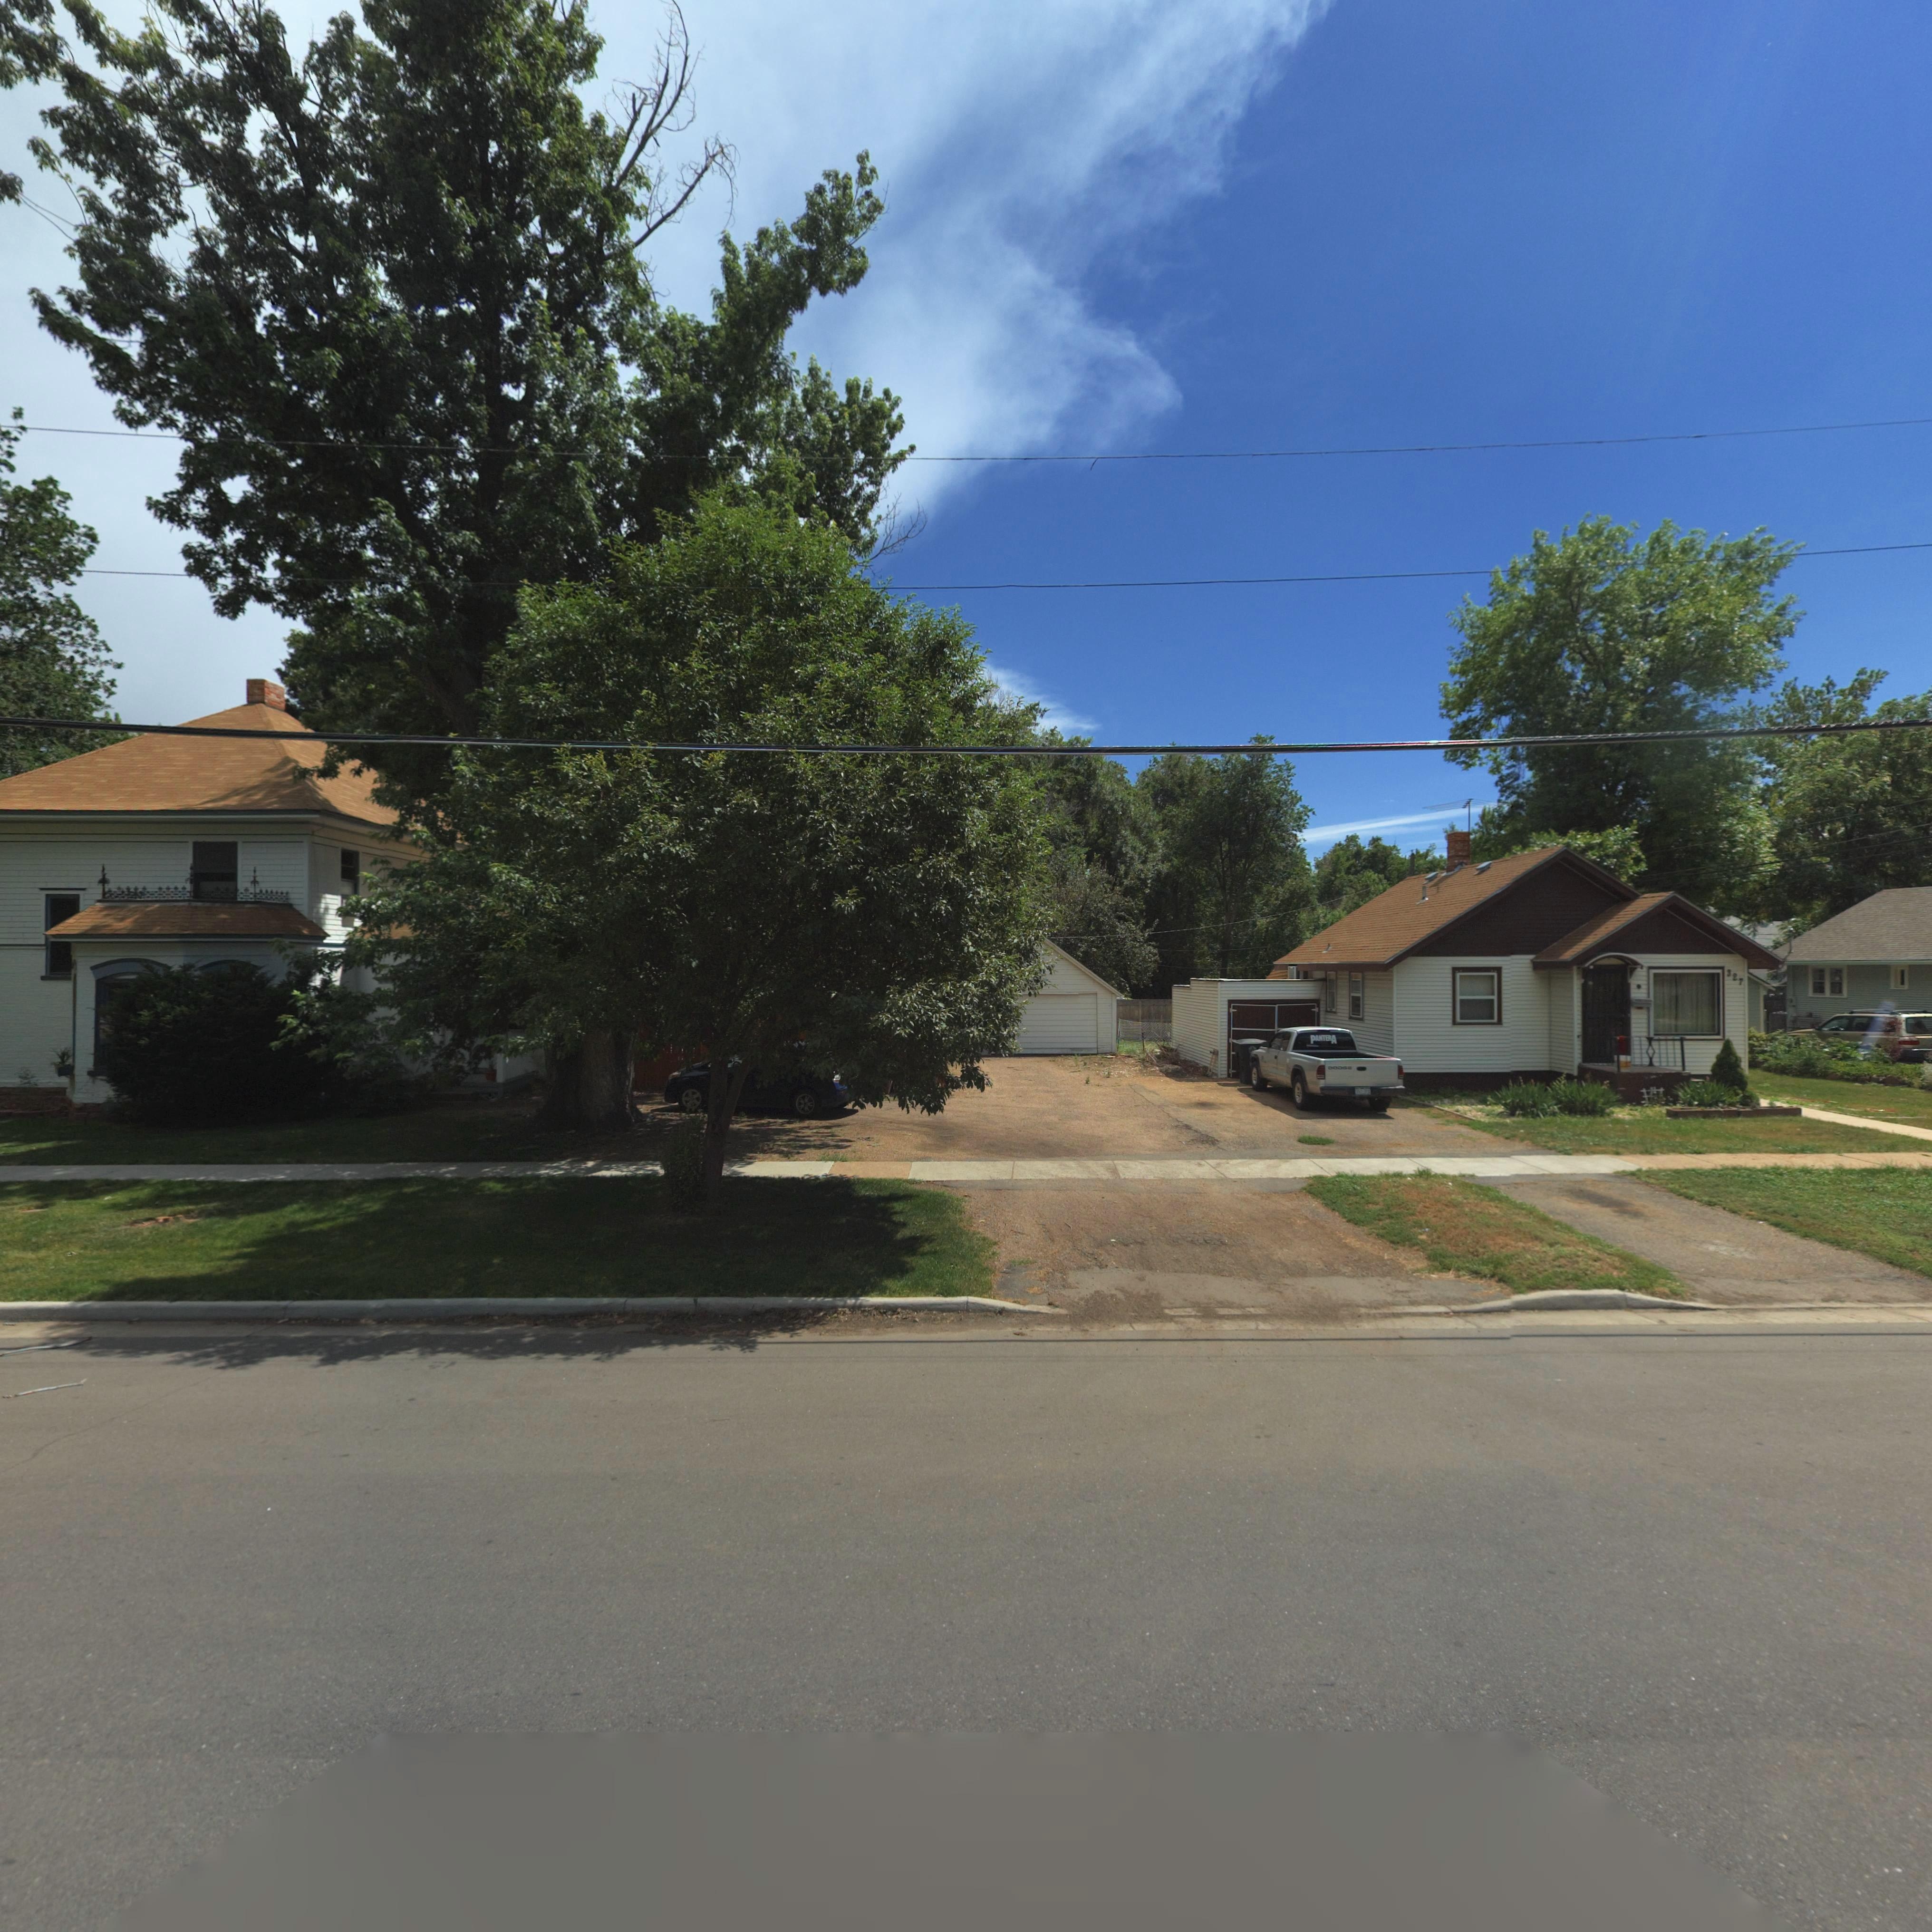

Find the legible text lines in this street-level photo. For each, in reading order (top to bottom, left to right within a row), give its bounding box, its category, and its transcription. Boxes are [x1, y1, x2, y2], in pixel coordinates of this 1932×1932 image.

[1726, 968, 1744, 986] StreetNumber: 327